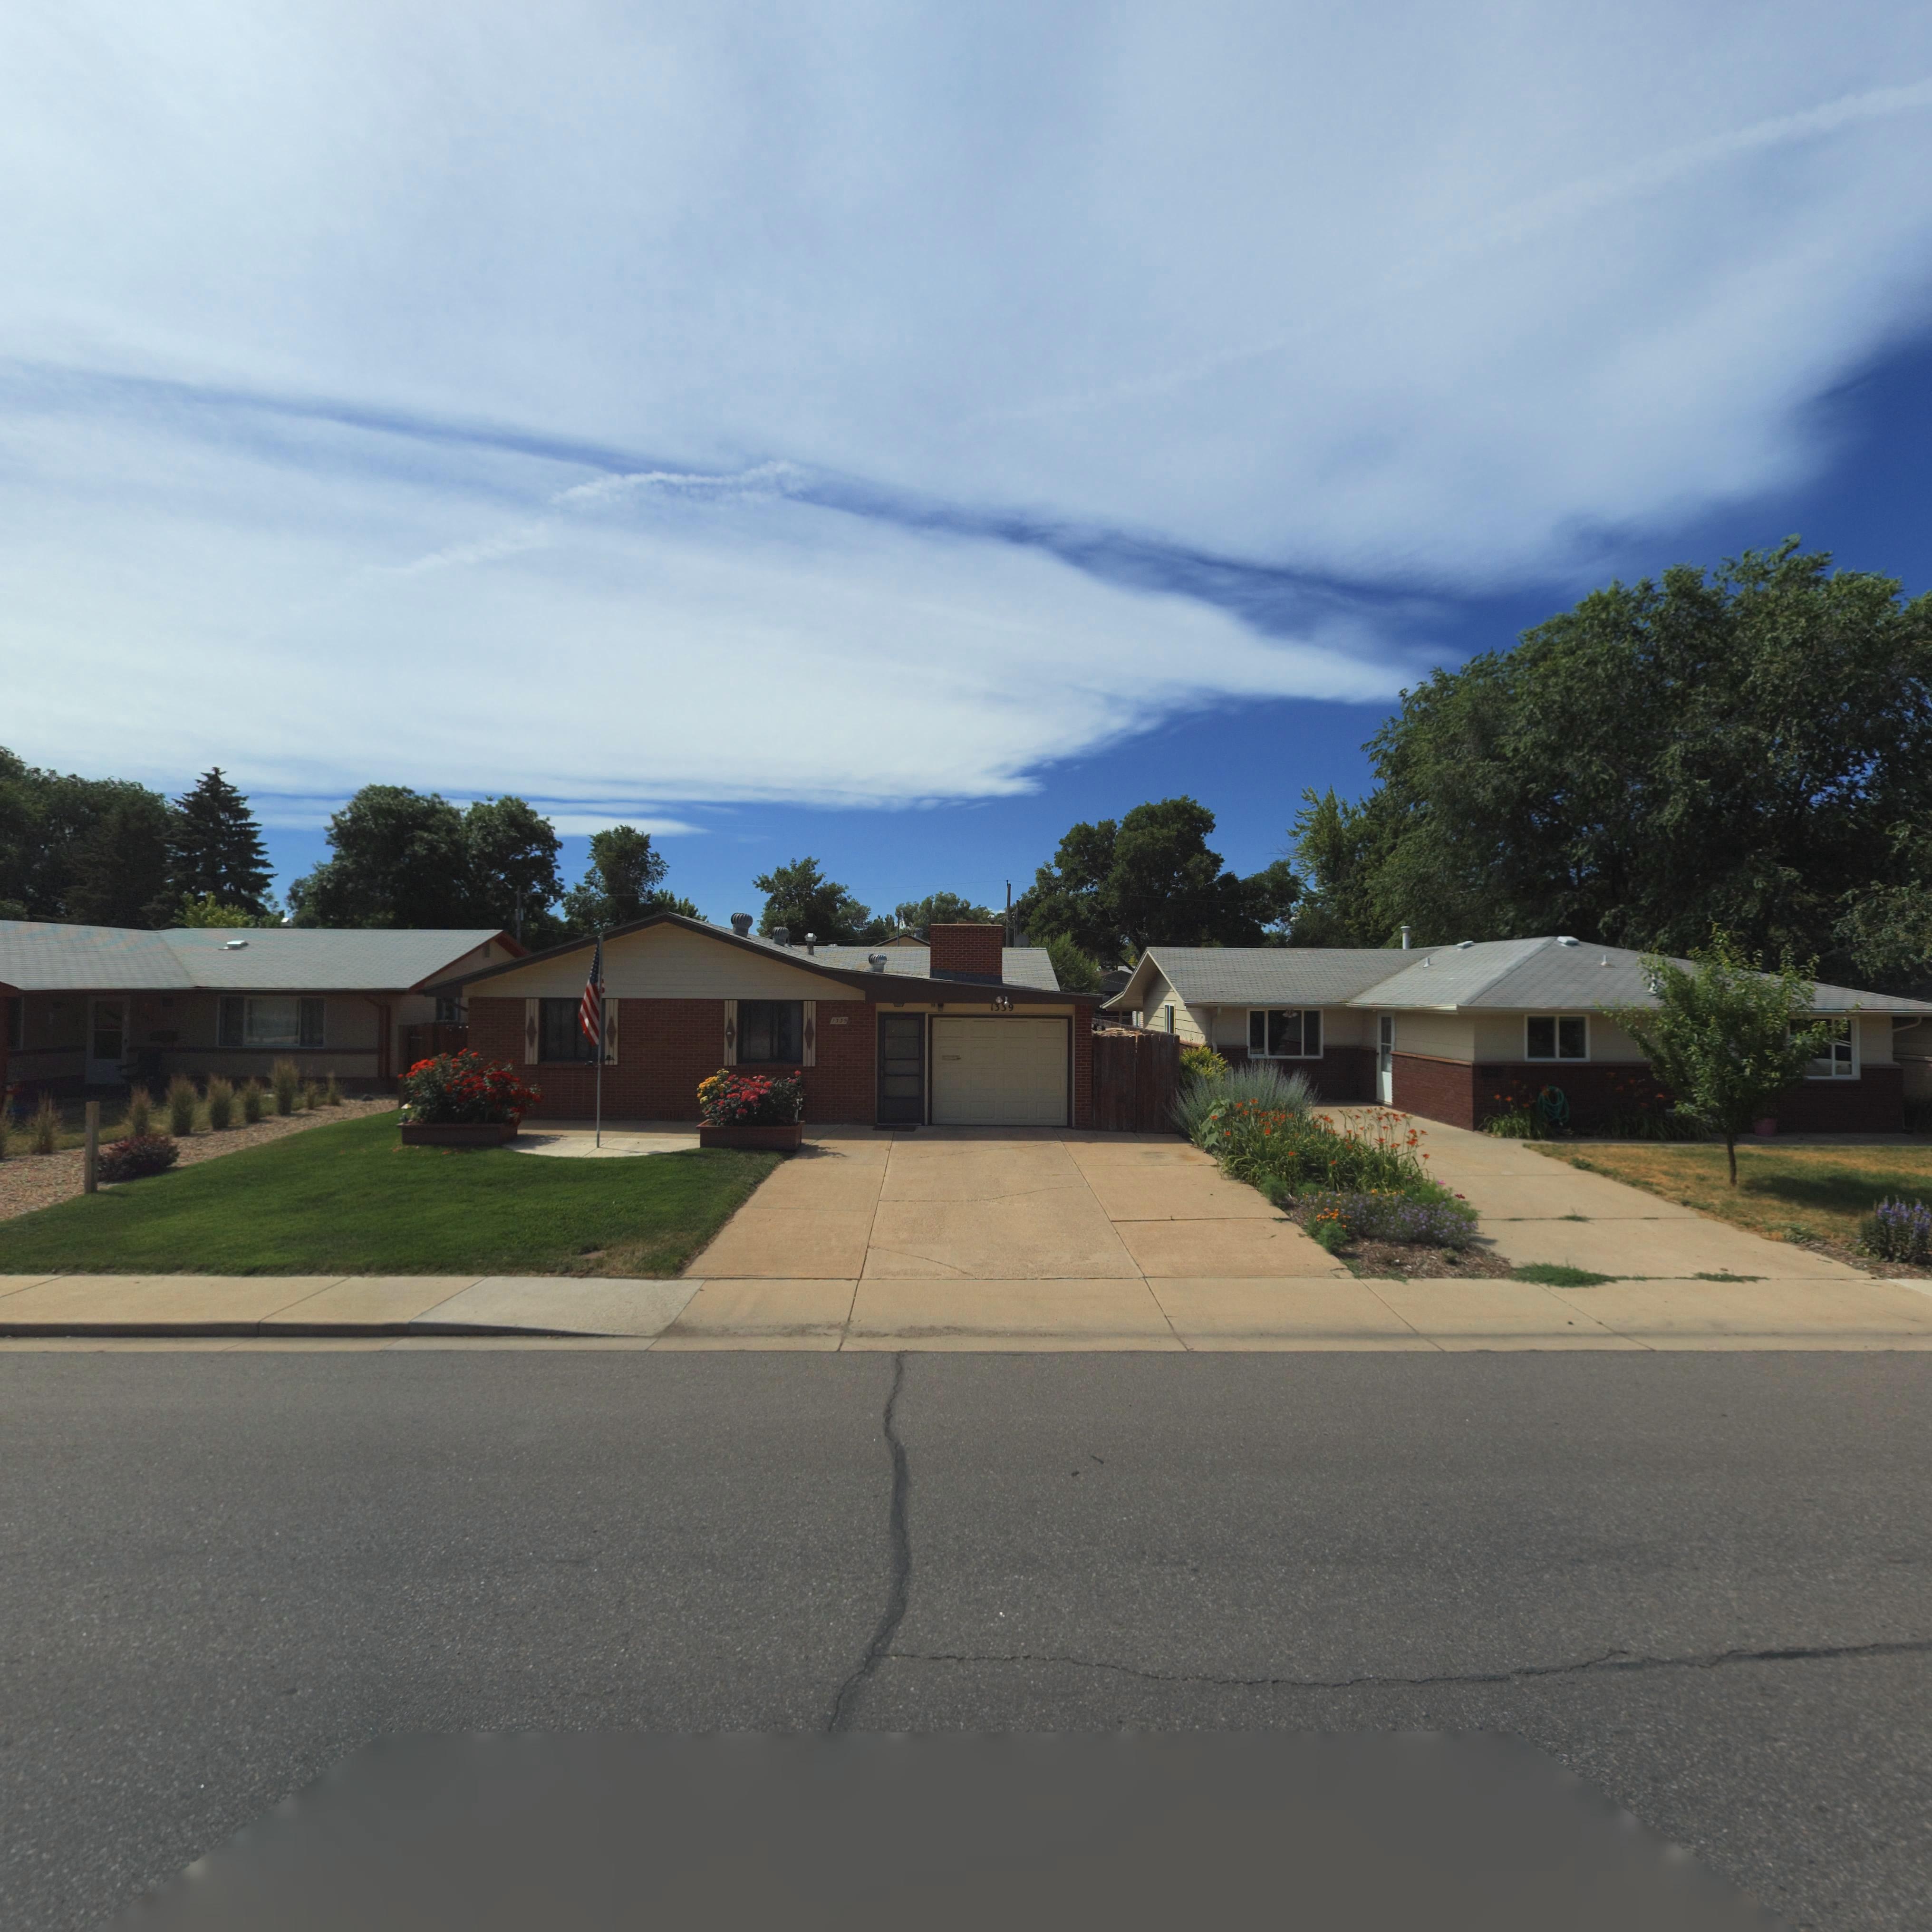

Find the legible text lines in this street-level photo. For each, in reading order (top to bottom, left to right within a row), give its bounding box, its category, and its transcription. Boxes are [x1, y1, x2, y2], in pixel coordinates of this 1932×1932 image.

[990, 1003, 1014, 1011] StreetNumber: 1339
[135, 1007, 154, 1025] StreetNumber: 1341
[831, 1018, 847, 1023] StreetNumber: 1339